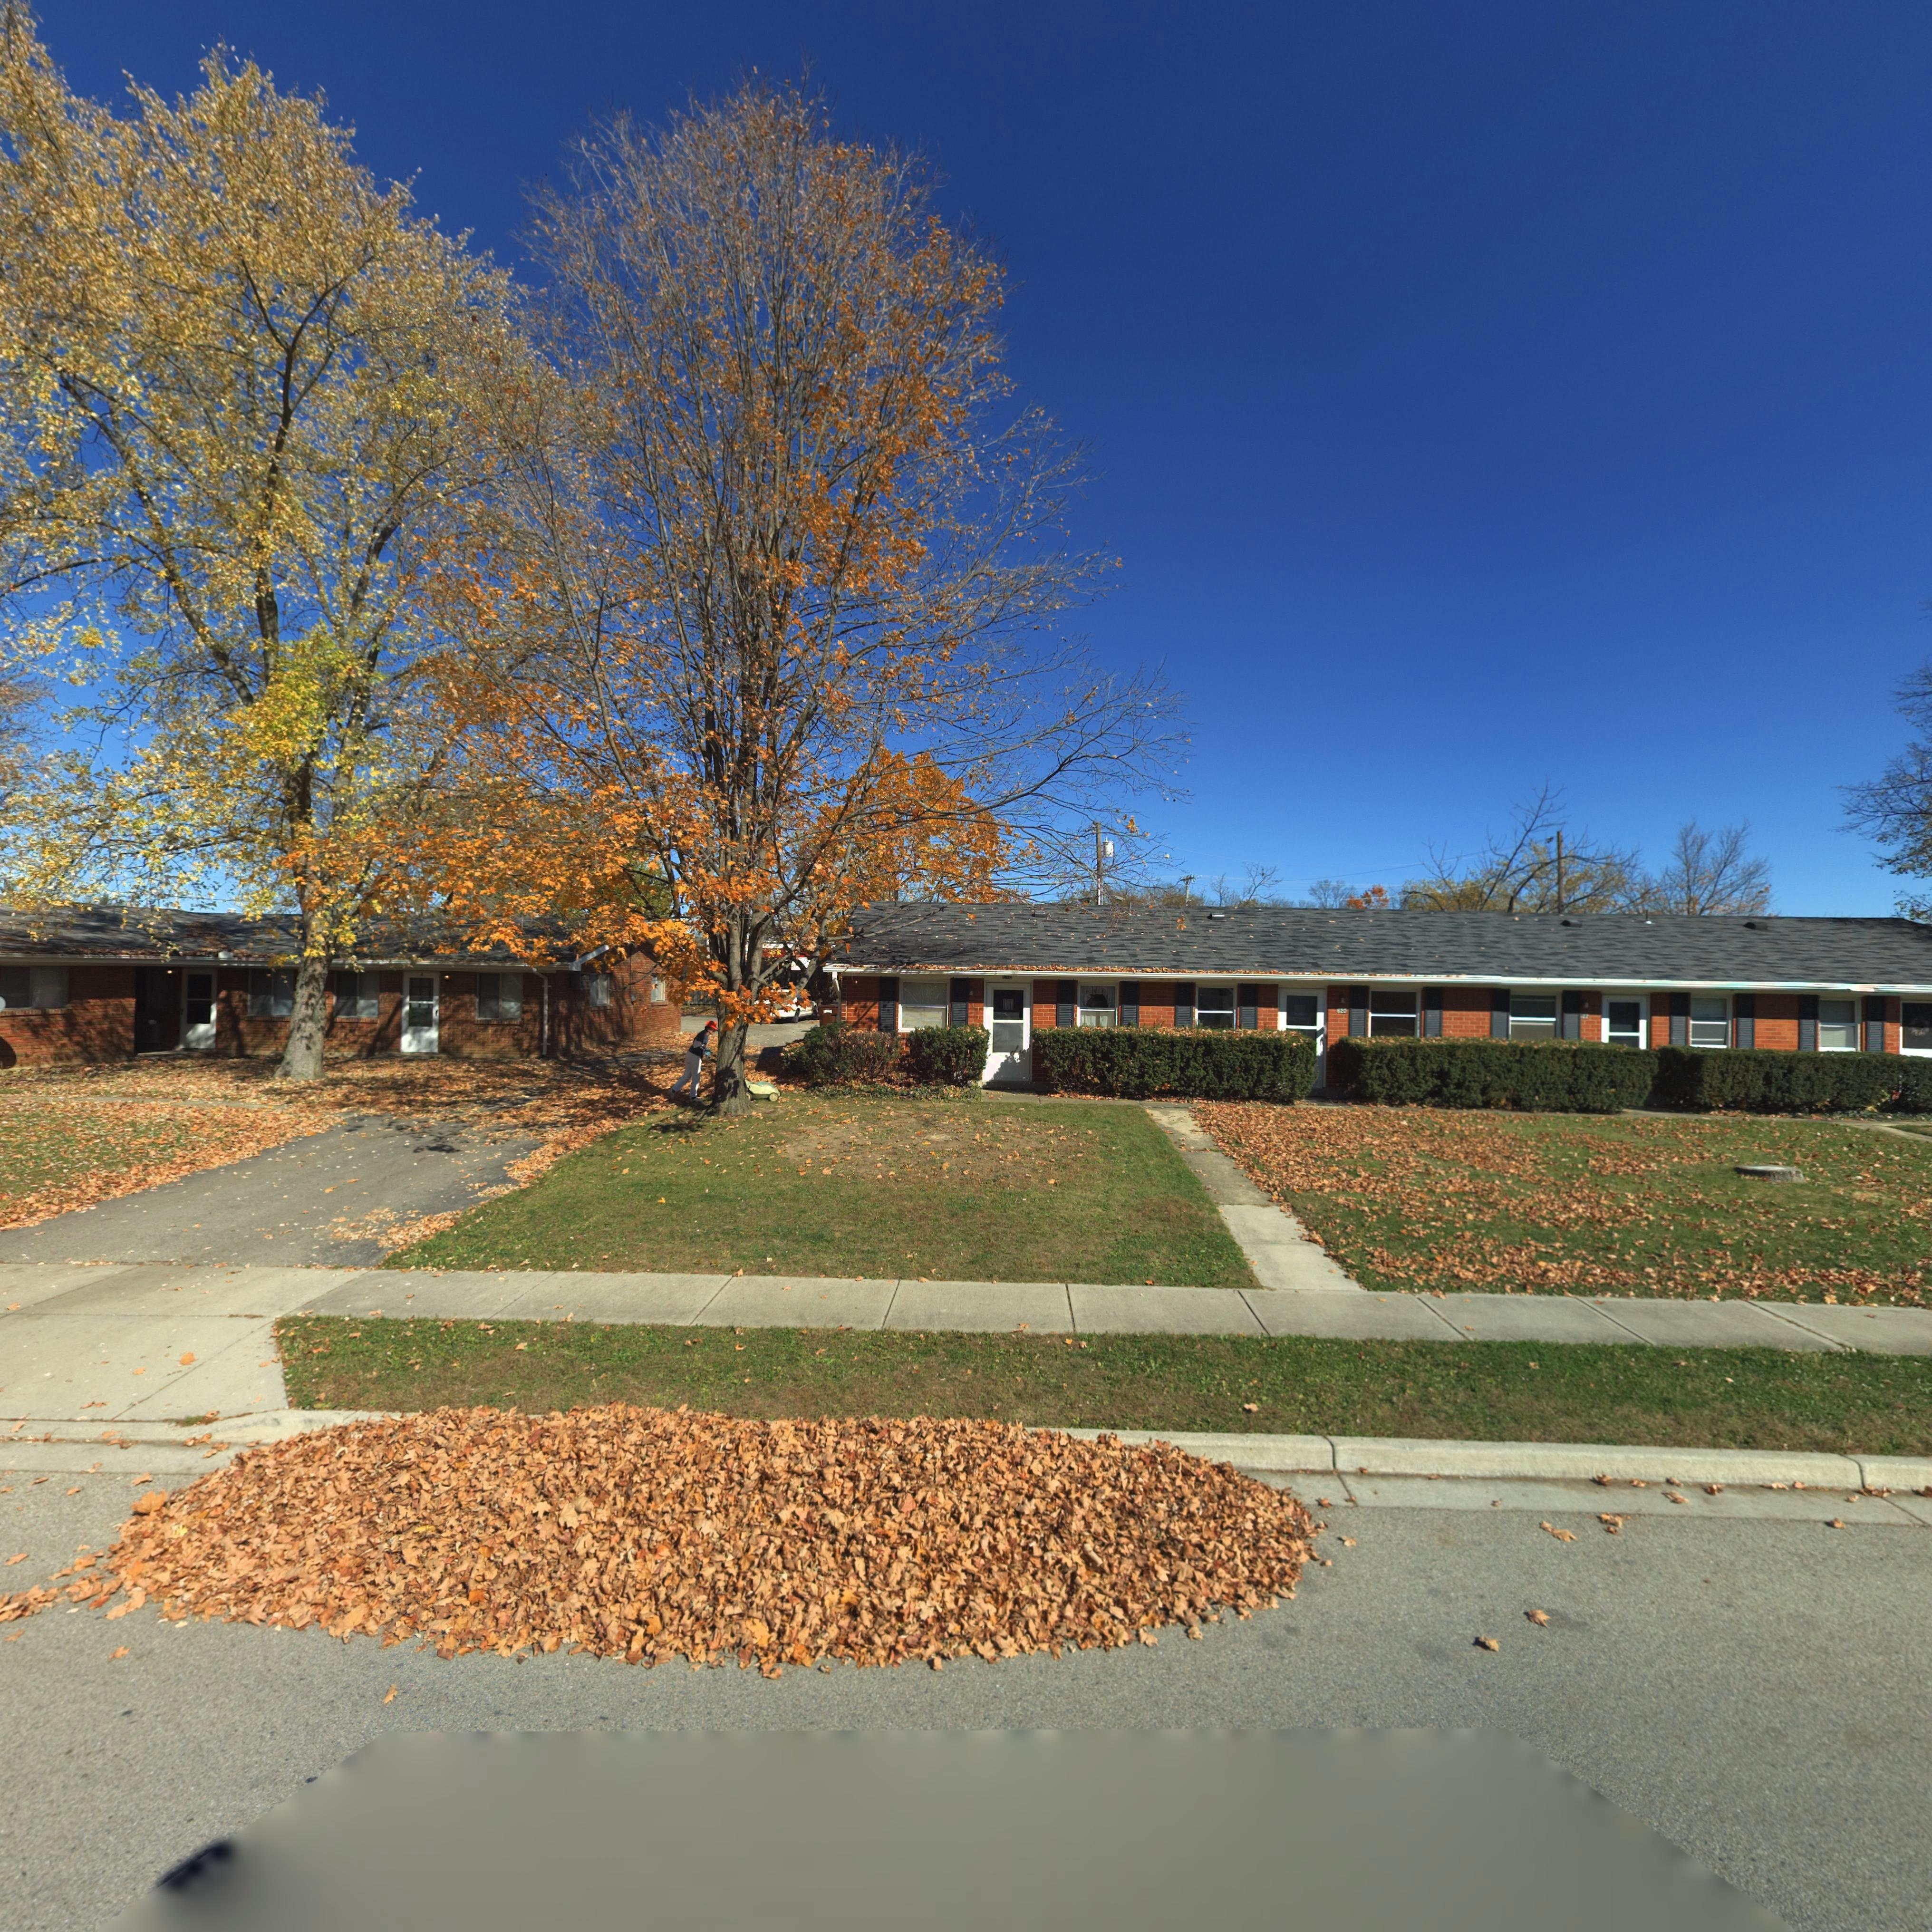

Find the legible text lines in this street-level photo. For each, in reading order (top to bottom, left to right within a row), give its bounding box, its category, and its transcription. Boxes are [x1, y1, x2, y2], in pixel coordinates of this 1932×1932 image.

[1002, 975, 1012, 979] StreetNumber: 618
[1337, 1008, 1347, 1013] StreetNumber: 620
[1582, 1014, 1589, 1019] StreetNumber: 22